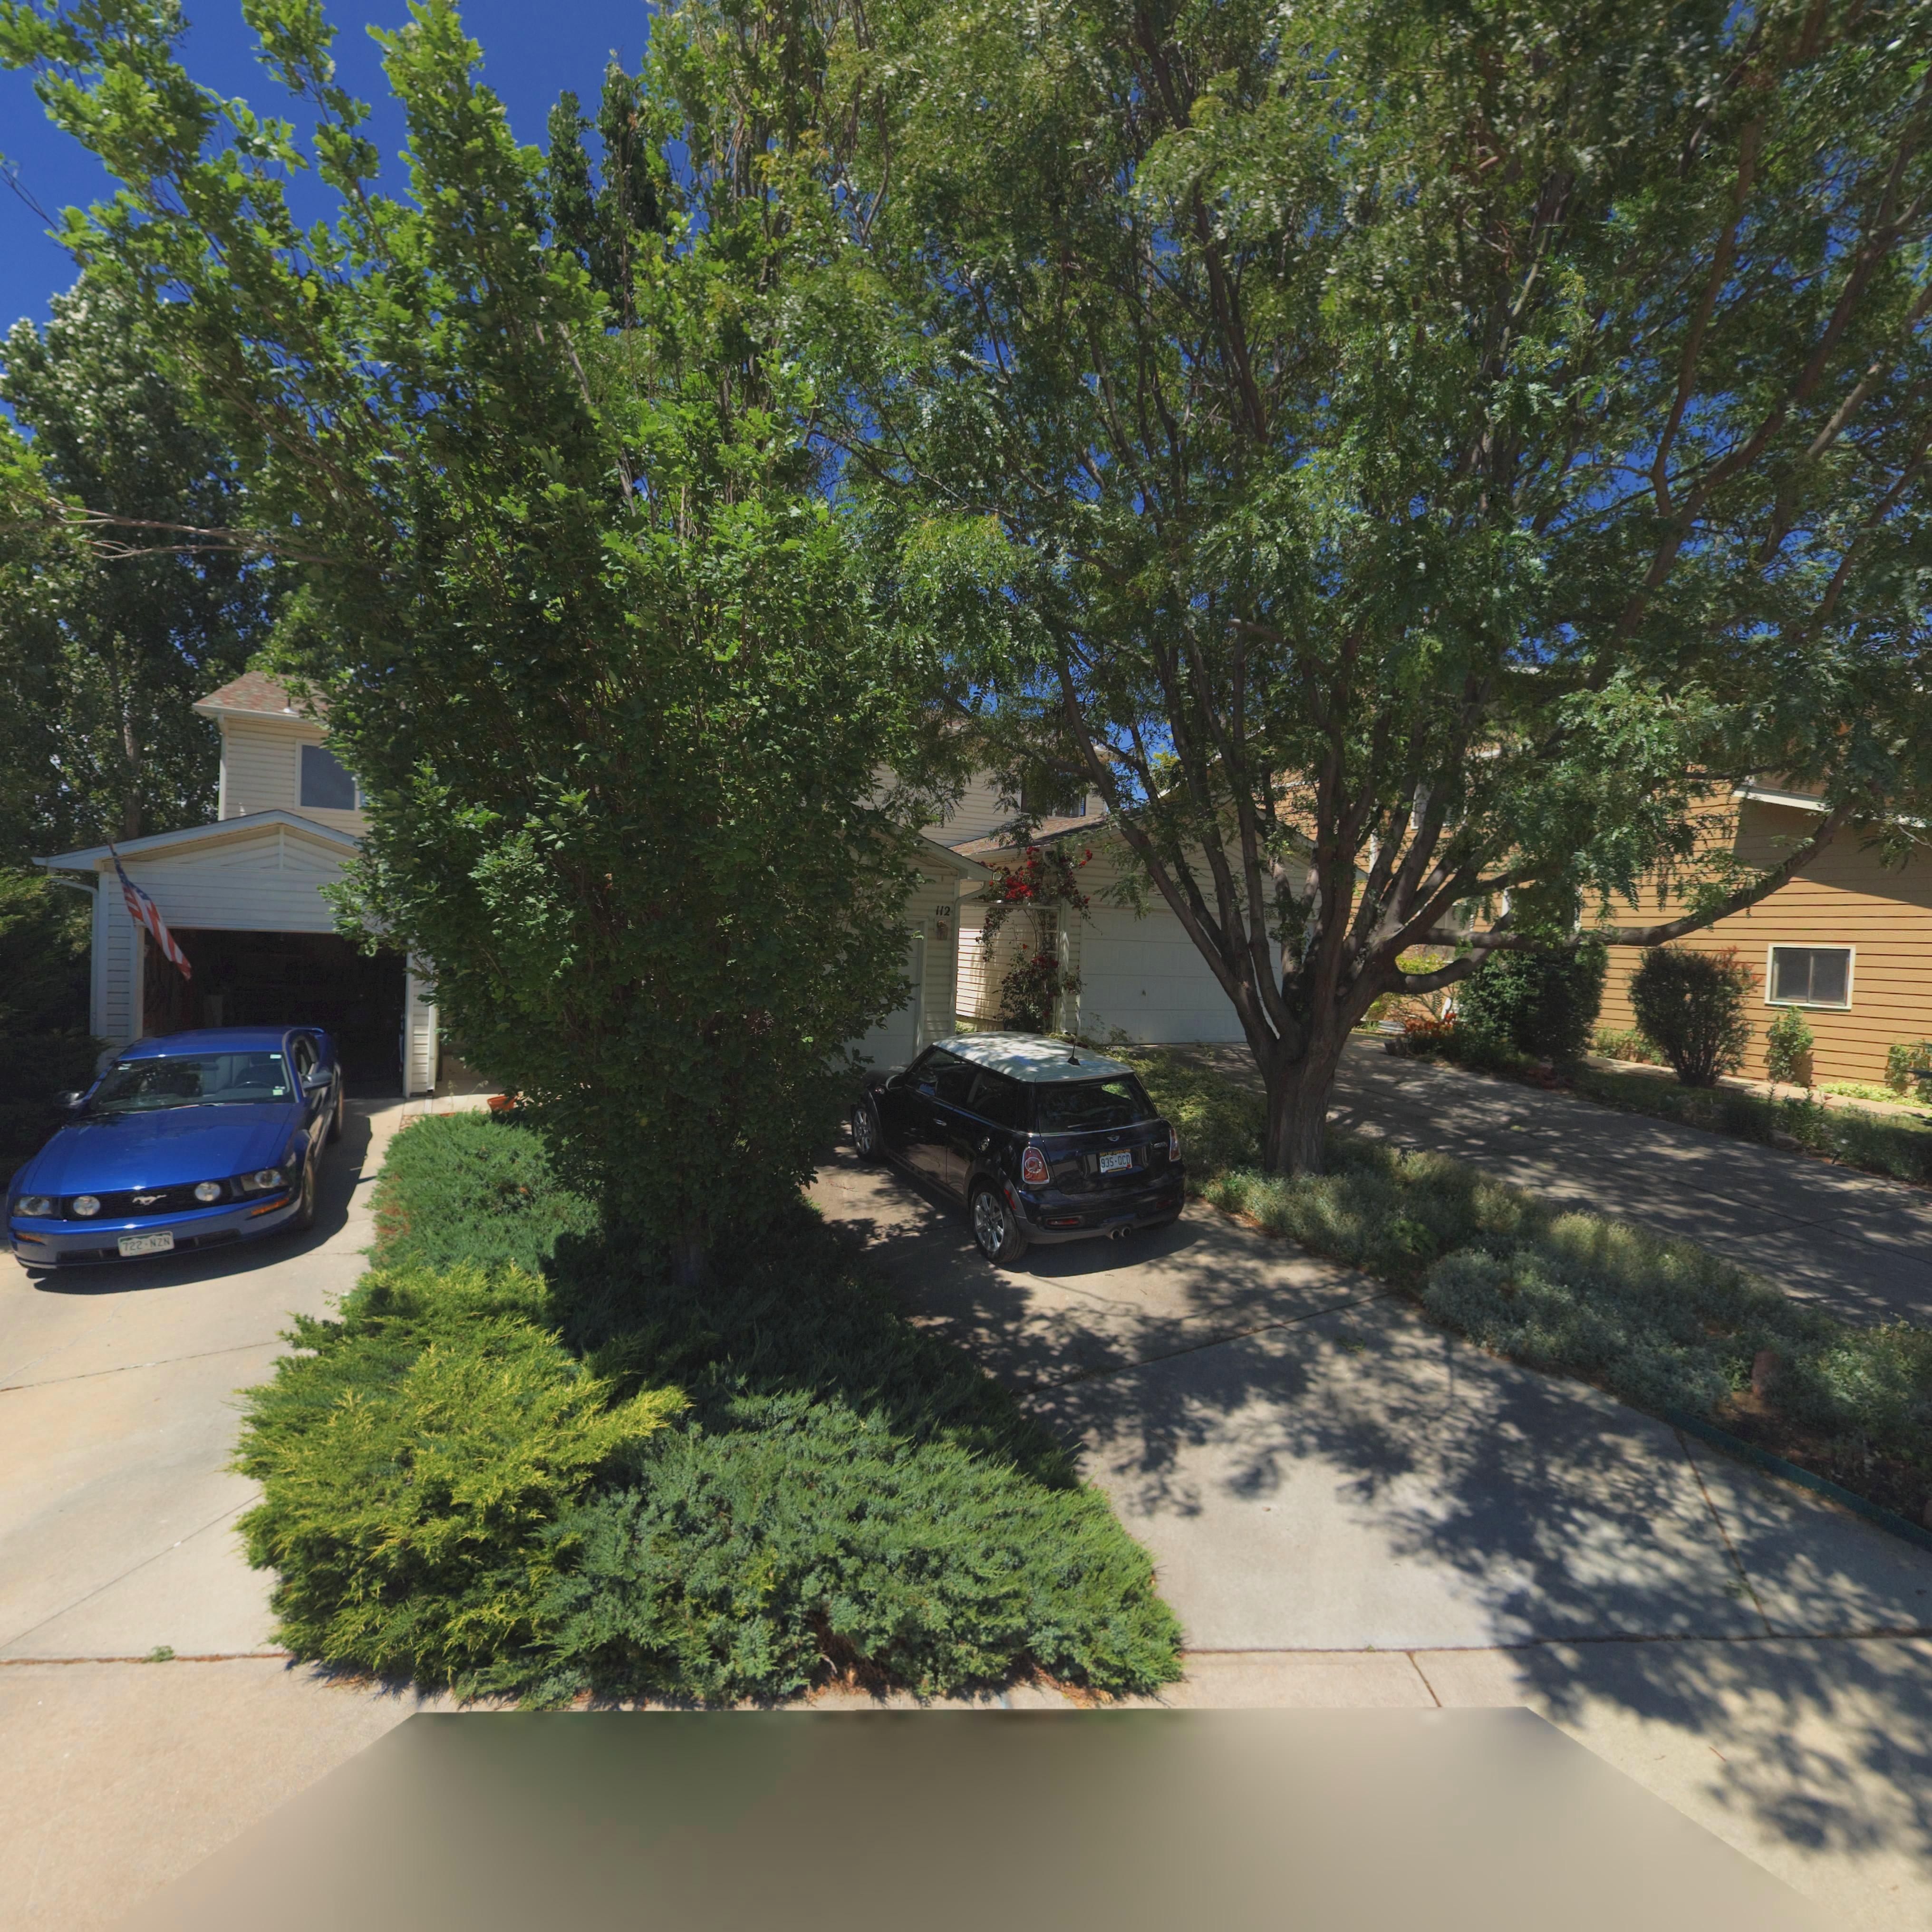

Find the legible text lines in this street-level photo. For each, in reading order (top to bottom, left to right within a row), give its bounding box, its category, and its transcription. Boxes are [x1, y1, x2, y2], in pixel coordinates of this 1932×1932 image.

[935, 904, 951, 917] StreetNumber: 112